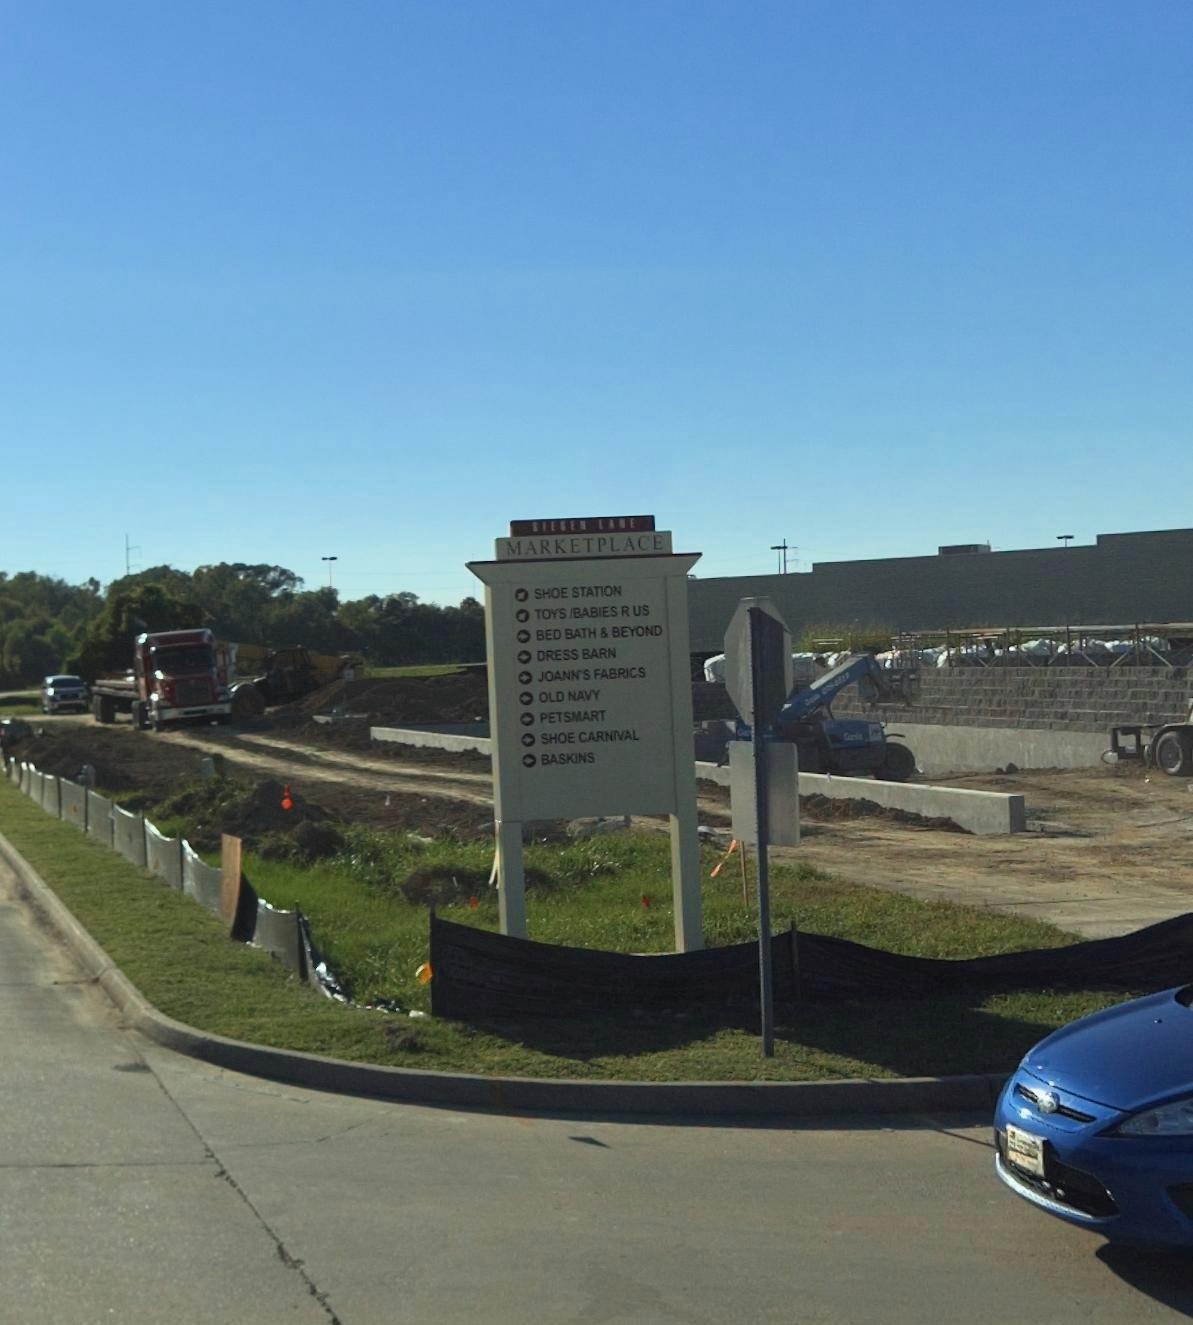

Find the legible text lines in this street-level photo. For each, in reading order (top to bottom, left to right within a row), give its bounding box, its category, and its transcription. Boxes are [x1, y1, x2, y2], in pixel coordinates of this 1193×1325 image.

[531, 516, 638, 534] BusinessName: SIEGEN LANE
[505, 534, 665, 557] BusinessName: MARKETPLACE
[533, 584, 623, 600] BusinessName: SHOE STATION
[533, 604, 650, 621] BusinessName: TOYS /BABIES R US
[535, 624, 664, 642] BusinessName: BED BATH & BEYOND
[535, 646, 618, 663] BusinessName: DRESS BARN
[535, 666, 647, 684] BusinessName: JOANN'S FABRICS
[538, 688, 602, 704] BusinessName: OLD NAVY
[538, 708, 609, 725] BusinessName: PETSMART
[539, 729, 640, 745] BusinessName: SHOE CARNIVAL
[540, 751, 596, 767] BusinessName: BASKINS